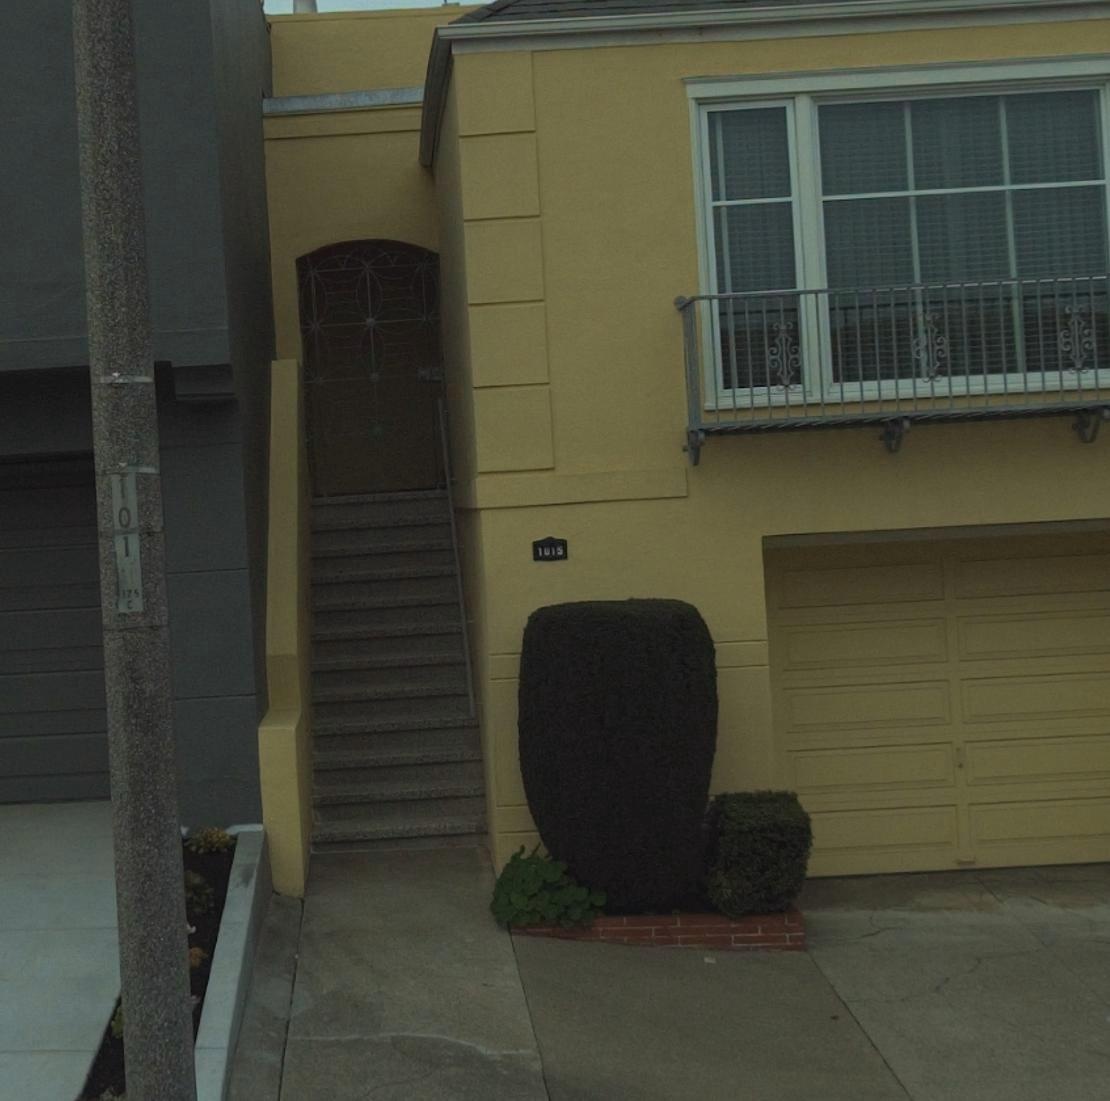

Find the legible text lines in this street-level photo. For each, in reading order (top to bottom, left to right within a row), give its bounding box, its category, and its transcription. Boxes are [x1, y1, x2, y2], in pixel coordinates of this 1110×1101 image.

[114, 476, 133, 561] None: 10*1
[536, 544, 565, 558] StreetNumber: 1015
[121, 587, 140, 600] None: 175
[126, 598, 134, 610] None: C